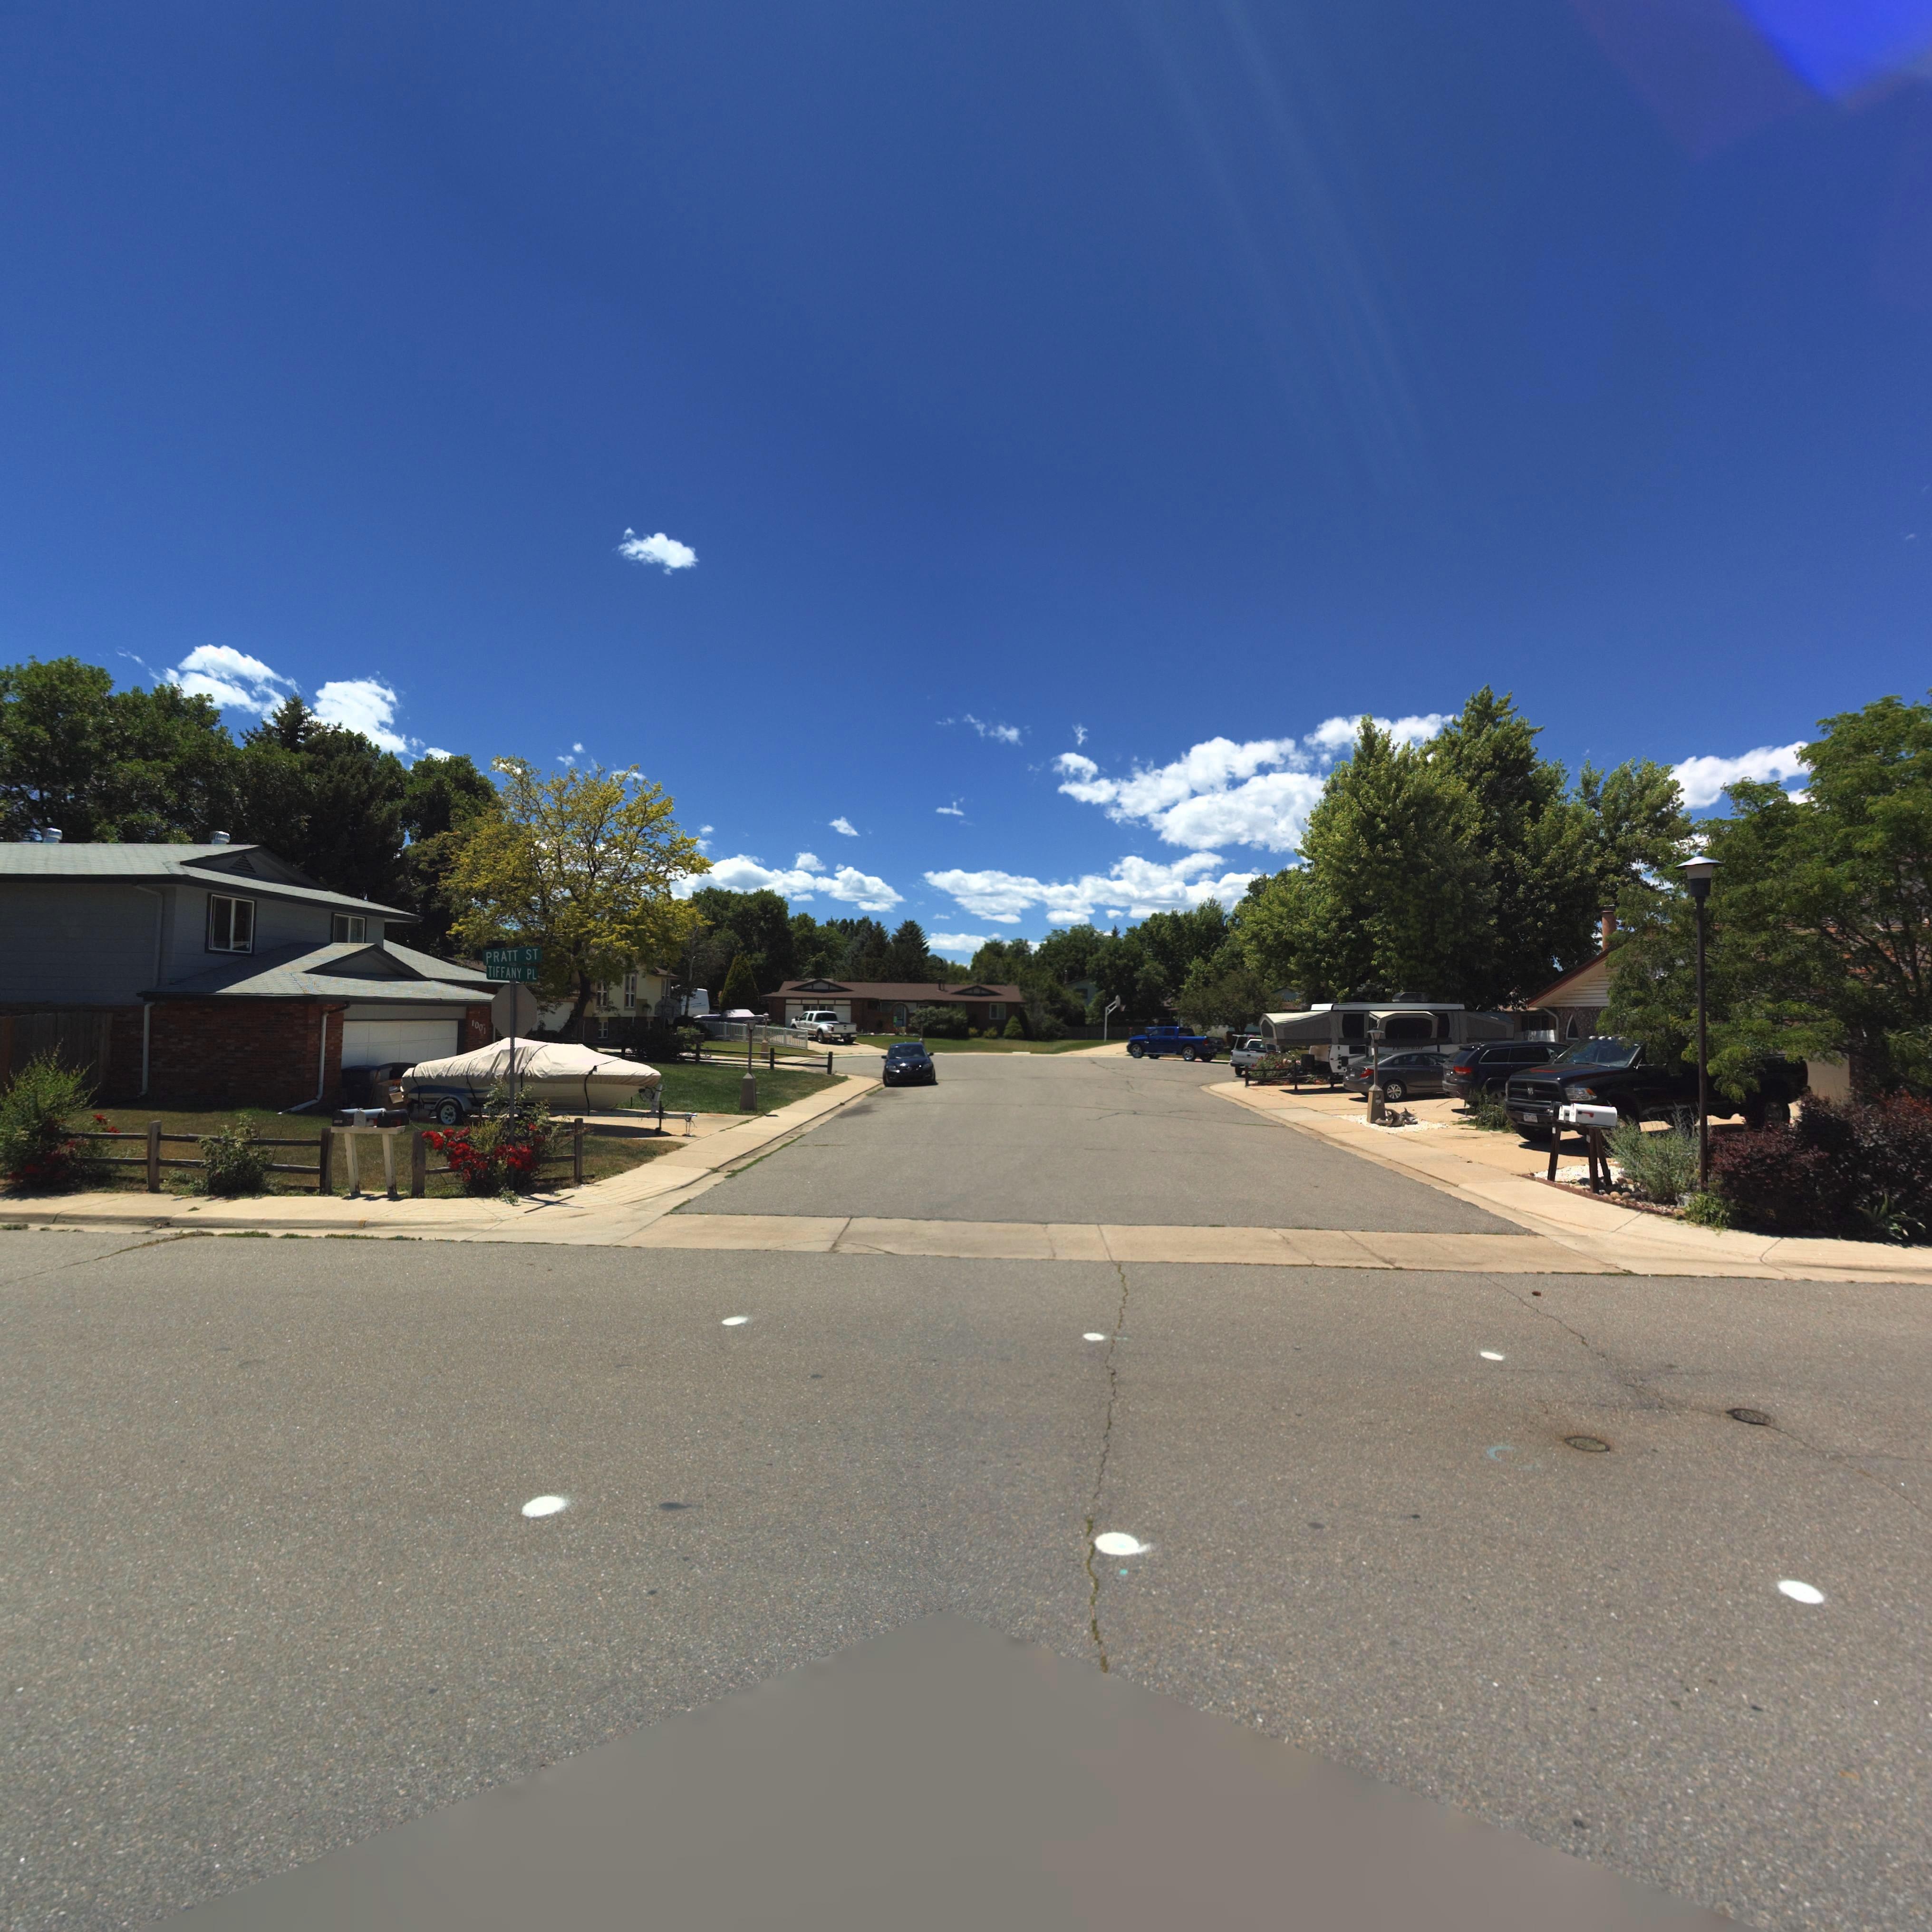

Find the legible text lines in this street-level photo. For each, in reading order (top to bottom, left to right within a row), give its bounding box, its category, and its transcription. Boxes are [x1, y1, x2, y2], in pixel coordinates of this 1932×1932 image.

[485, 948, 538, 964] StreetName: PRATT ST
[488, 965, 536, 979] StreetName: TIFFANY PL
[471, 1018, 486, 1035] StreetNumber: 1001